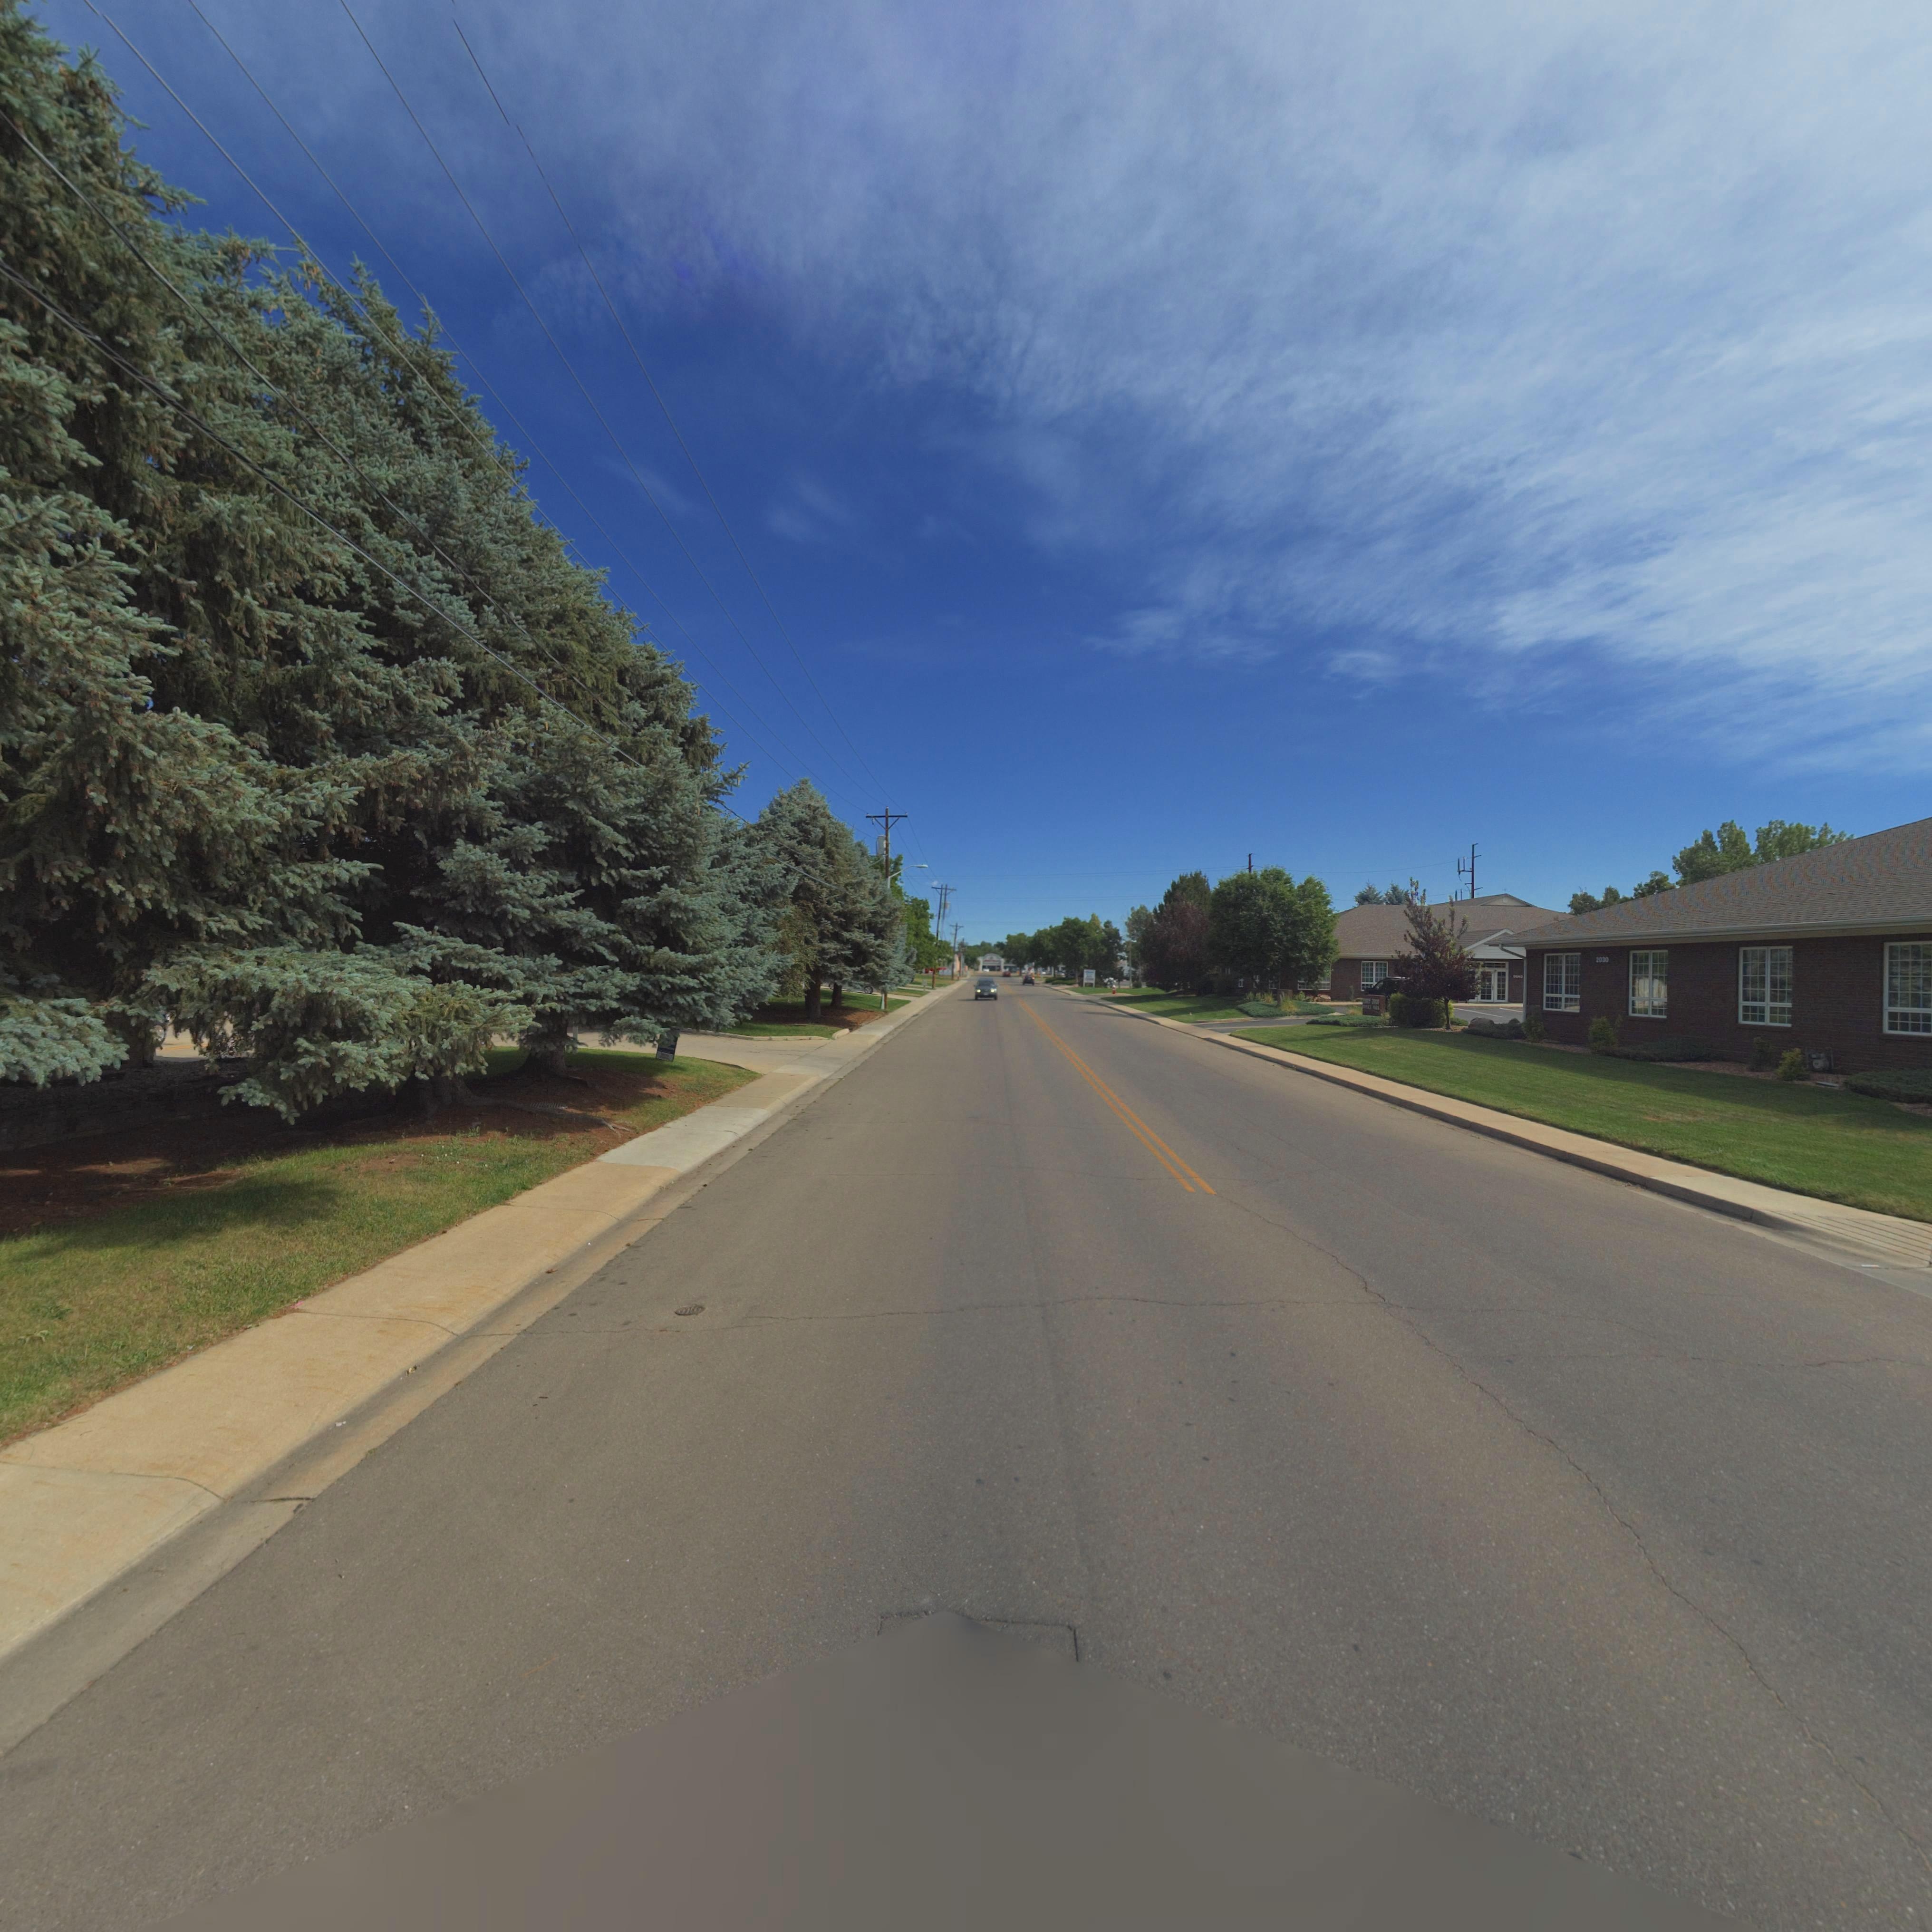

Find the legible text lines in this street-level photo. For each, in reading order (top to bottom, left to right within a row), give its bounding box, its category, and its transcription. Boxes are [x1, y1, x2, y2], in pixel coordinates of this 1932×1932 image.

[1595, 956, 1609, 963] StreetNumber: 2030
[1513, 975, 1523, 978] StreetNumber: **40
[1371, 998, 1379, 1004] StreetNumber: 2***